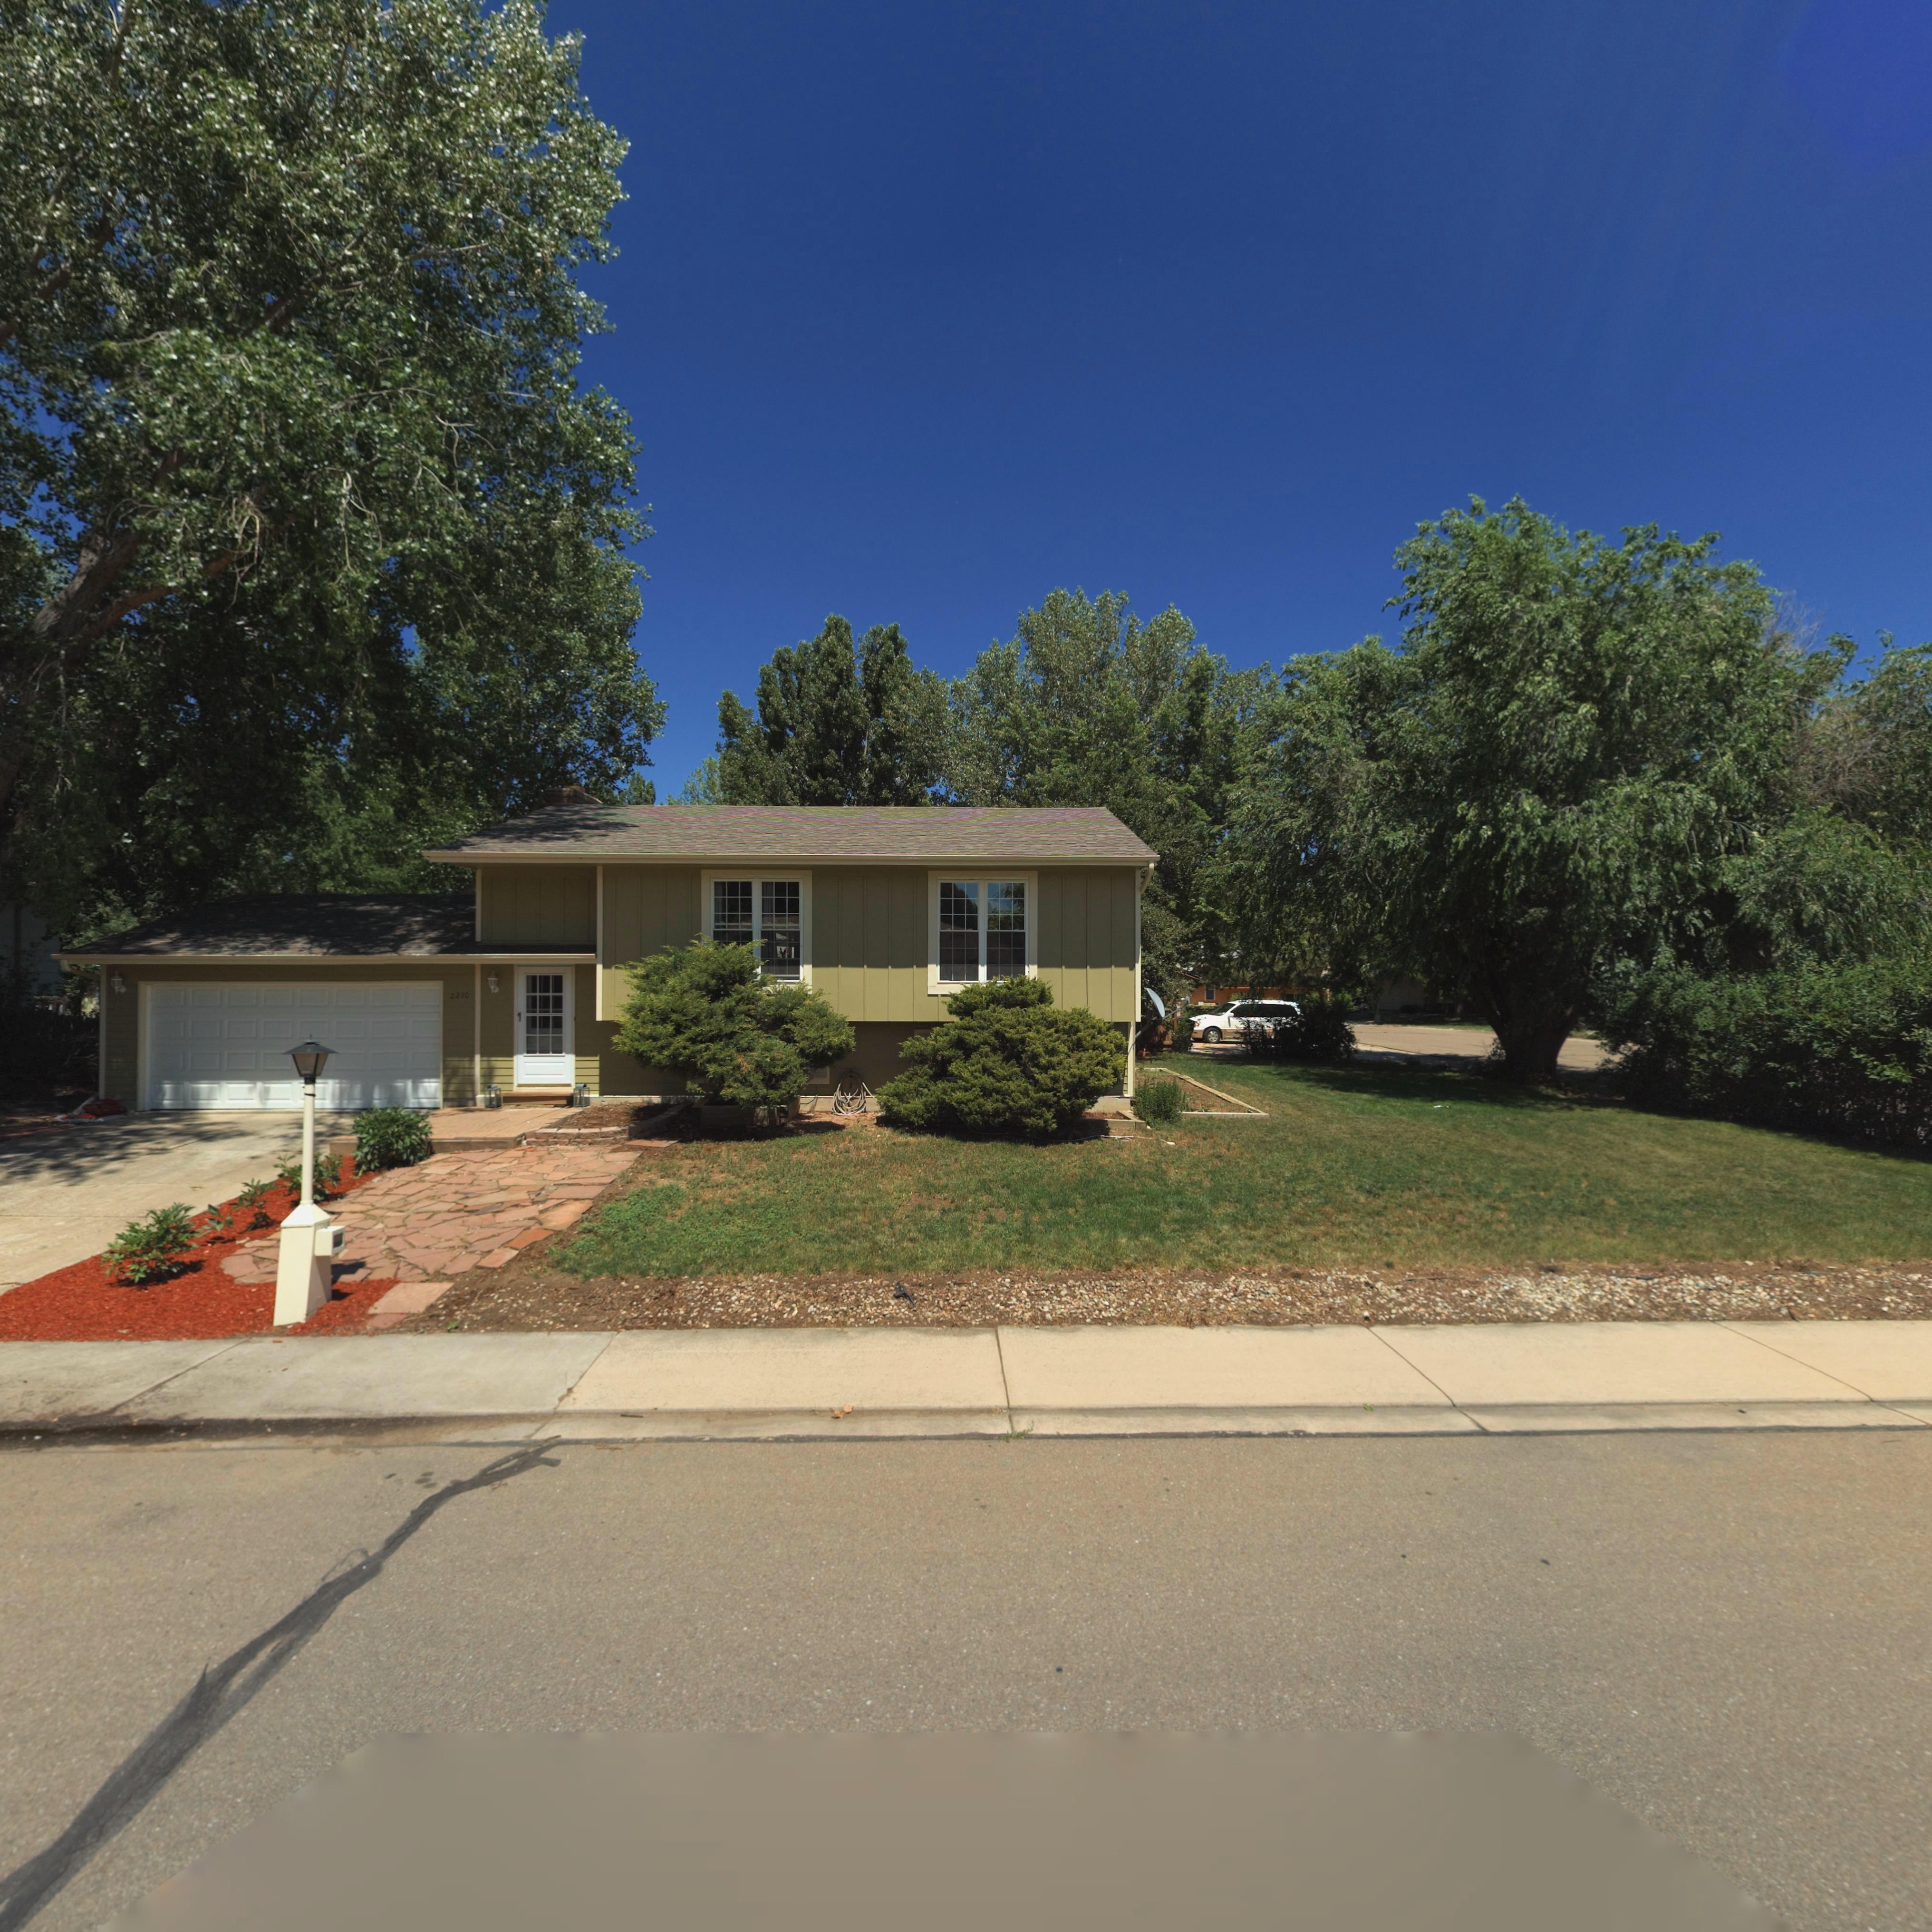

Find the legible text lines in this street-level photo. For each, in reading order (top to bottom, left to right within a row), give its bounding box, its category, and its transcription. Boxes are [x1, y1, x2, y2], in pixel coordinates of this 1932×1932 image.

[450, 992, 470, 998] StreetNumber: 2210